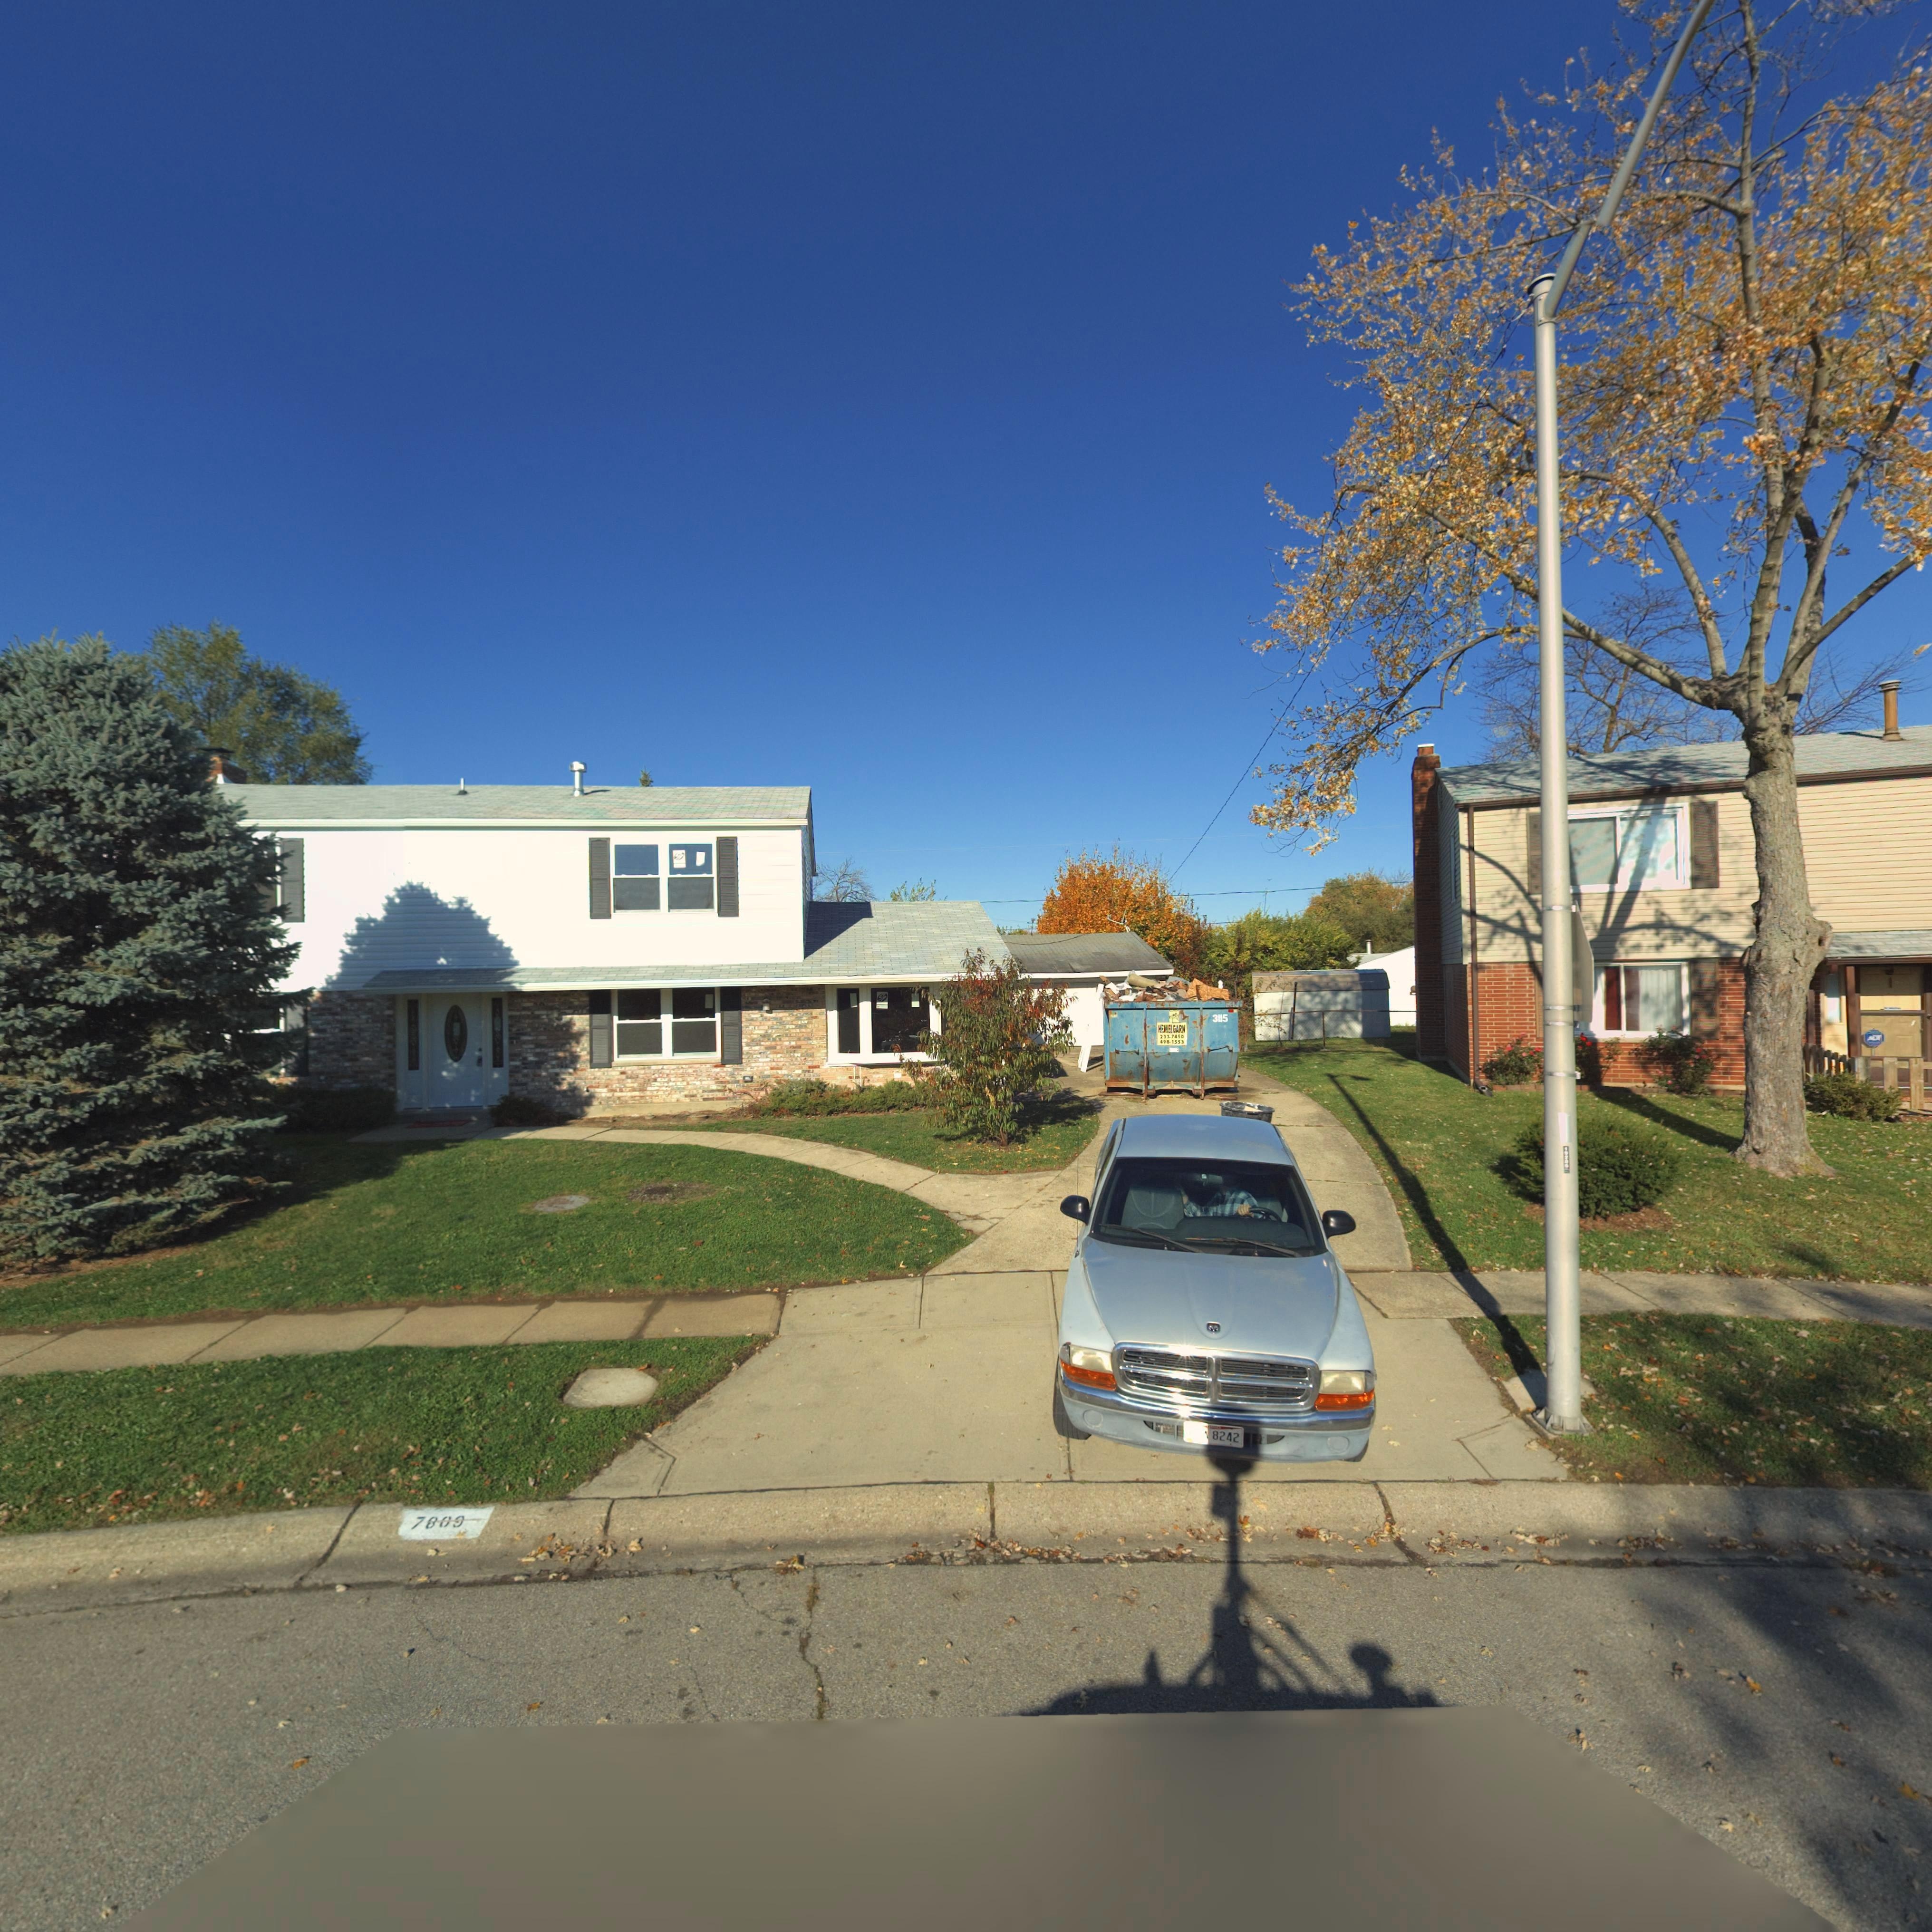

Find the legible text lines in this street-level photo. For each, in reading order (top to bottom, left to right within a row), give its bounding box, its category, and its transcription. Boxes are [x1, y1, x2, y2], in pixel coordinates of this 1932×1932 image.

[409, 1515, 465, 1530] StreetNumber: 7809